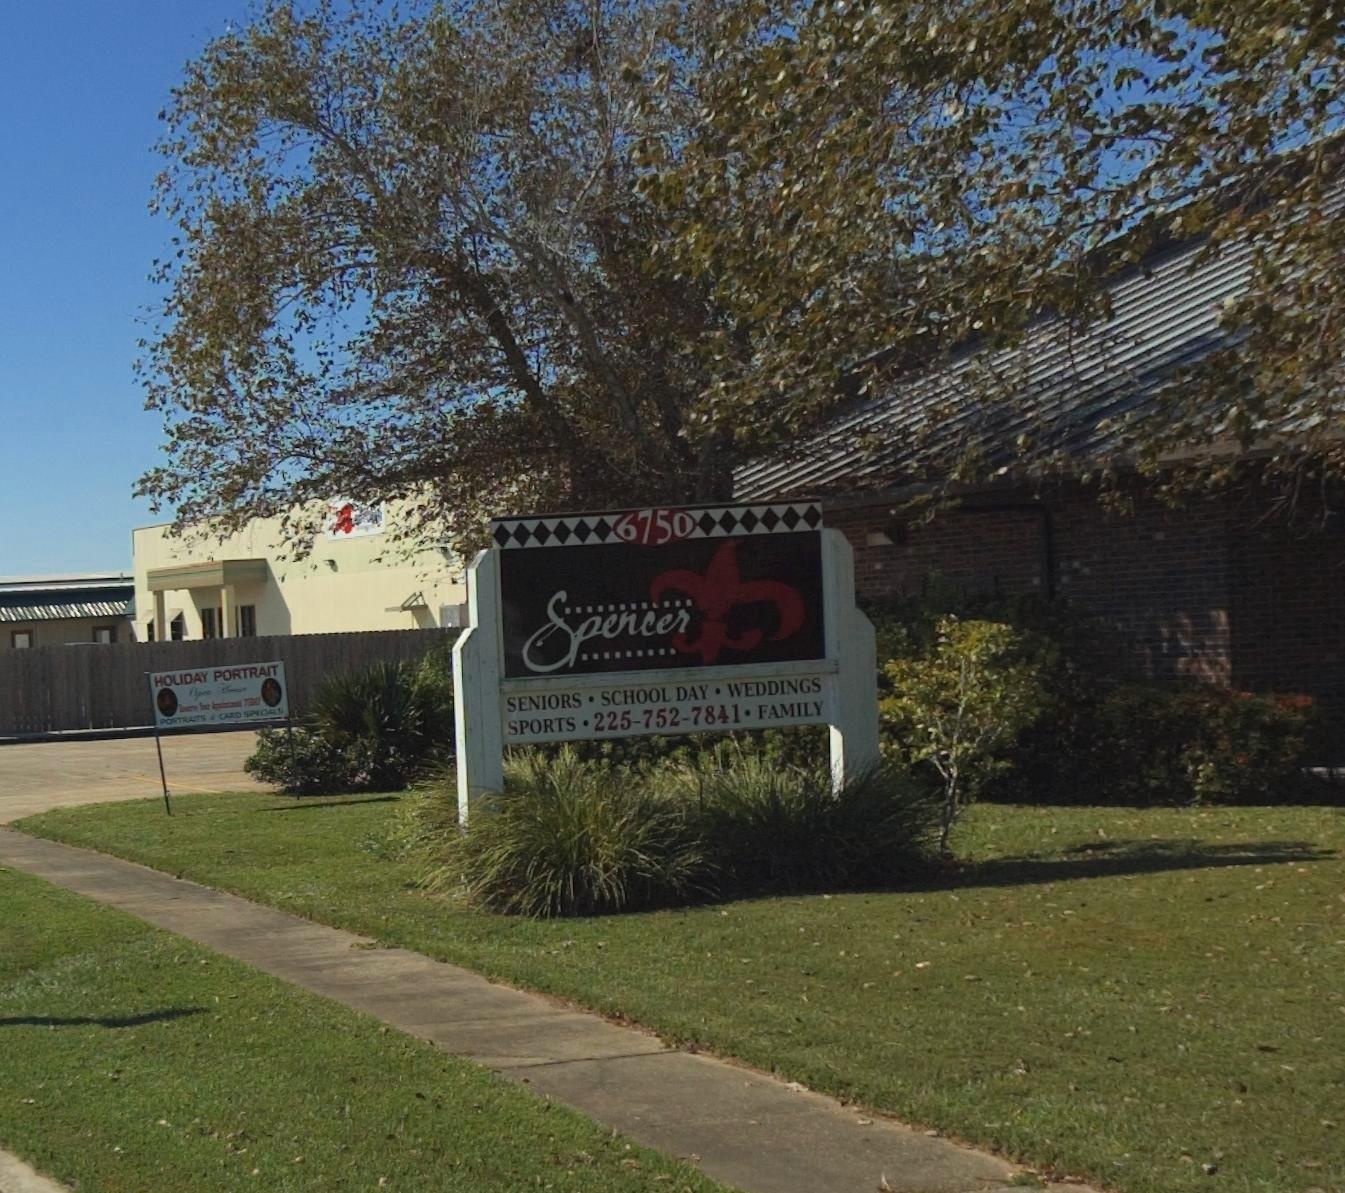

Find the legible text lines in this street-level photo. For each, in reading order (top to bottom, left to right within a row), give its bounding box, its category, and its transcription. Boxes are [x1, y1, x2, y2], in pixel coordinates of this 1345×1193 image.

[612, 506, 697, 549] StreetNumber: 6750
[516, 586, 695, 677] BusinessName: Spencer
[151, 661, 282, 690] None: HOLIDAY PORTRAIT
[502, 674, 824, 716] None: SENIORS * SCHOOL DAY * WEDDINGS
[157, 709, 244, 728] None: PORTRAITS & CARD
[506, 697, 827, 737] None: SPORTS * 225-752-7841 * FAMILY